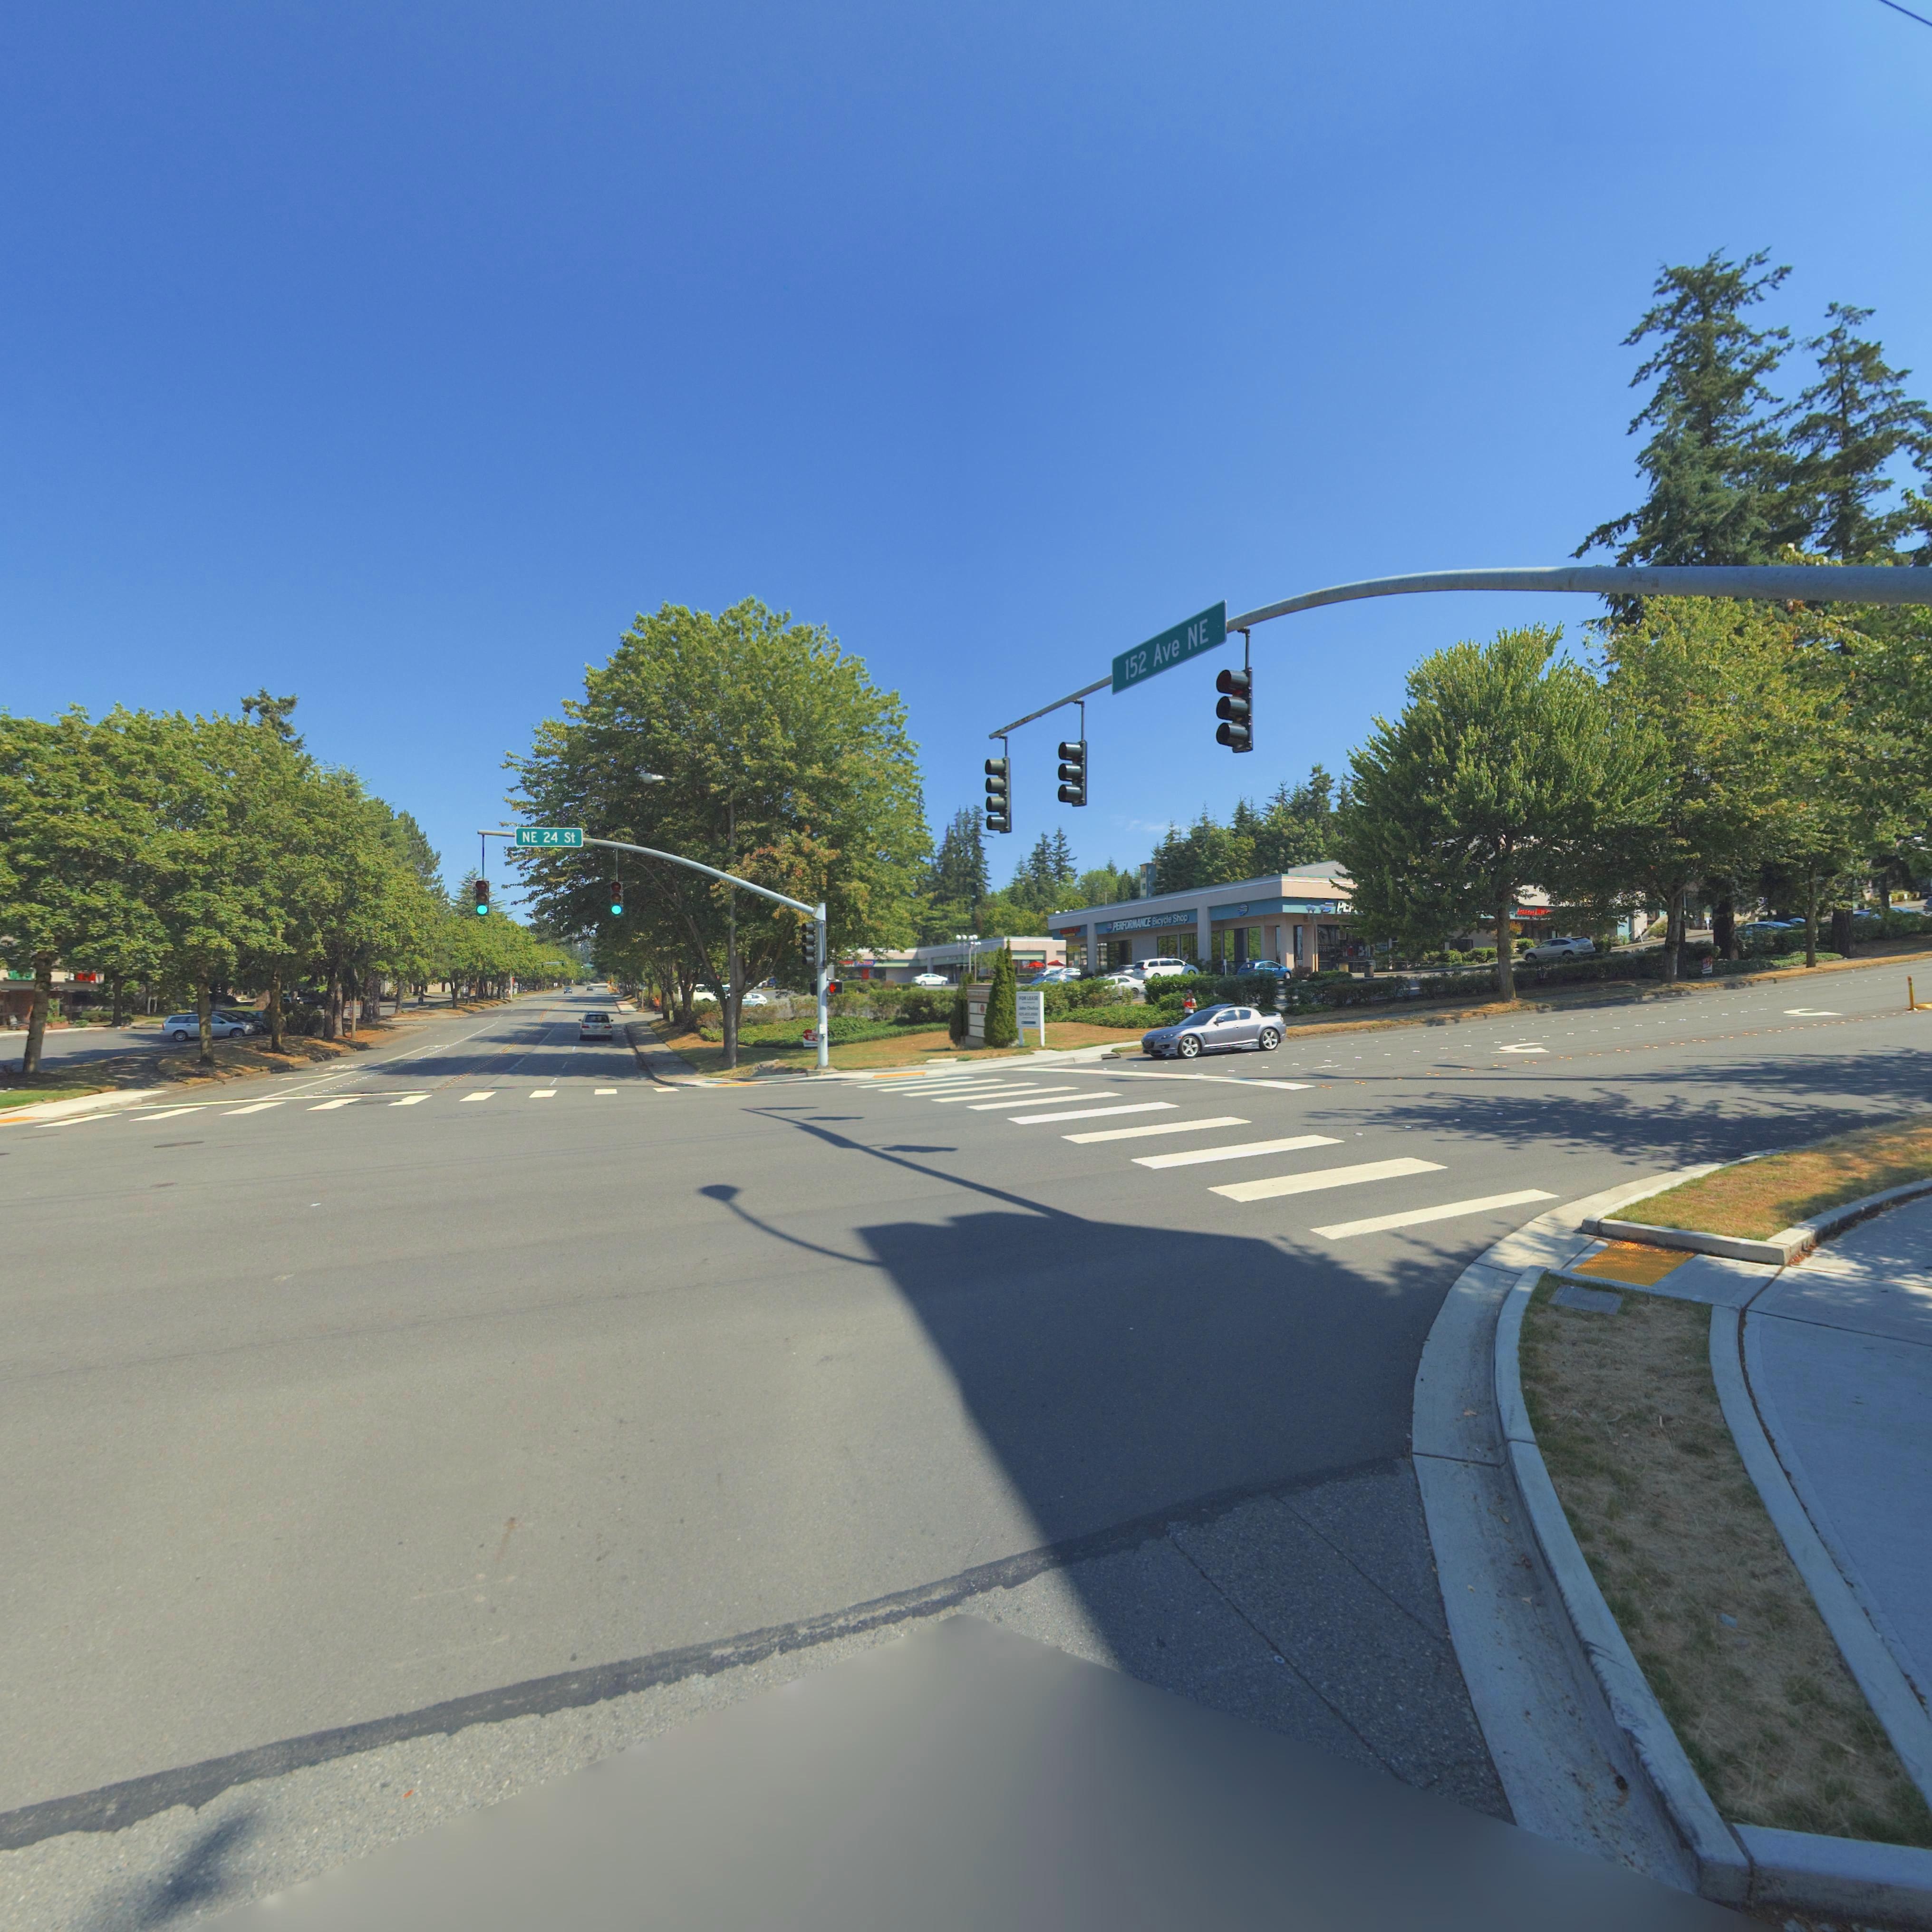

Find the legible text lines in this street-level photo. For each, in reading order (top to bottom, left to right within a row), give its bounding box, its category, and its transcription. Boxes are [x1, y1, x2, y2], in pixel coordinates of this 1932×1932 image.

[1123, 617, 1209, 681] StreetName: 152 Ave NE
[522, 831, 575, 842] StreetName: NE 24 St
[1335, 898, 1362, 914] BusinessName: P**
[1111, 911, 1189, 930] BusinessName: PERFORMANCE Bicycle Shop
[1018, 995, 1039, 1001] None: FOR LEASE